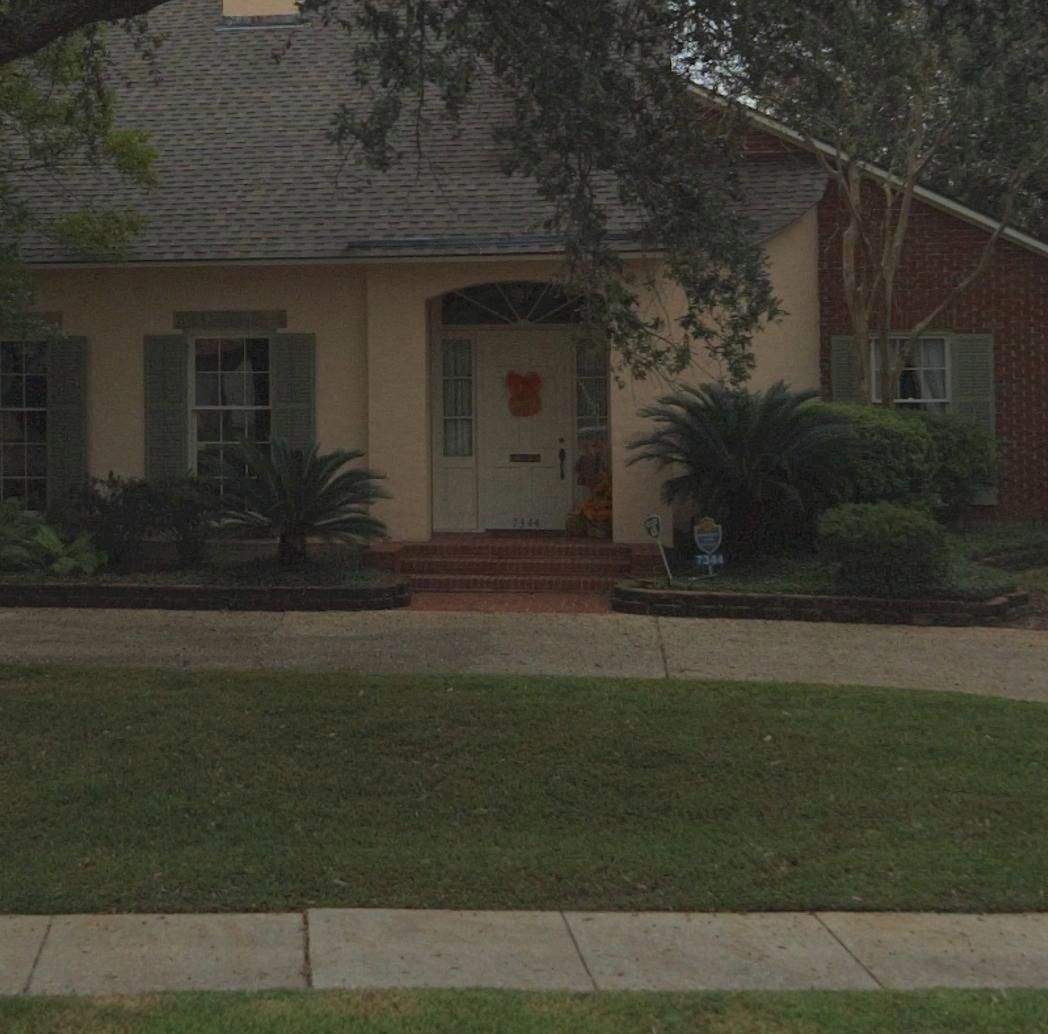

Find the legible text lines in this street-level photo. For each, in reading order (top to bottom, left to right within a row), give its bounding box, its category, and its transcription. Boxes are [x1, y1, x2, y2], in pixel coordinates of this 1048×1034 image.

[511, 517, 541, 529] StreetNumber: 7344
[695, 554, 724, 563] StreetNumber: 7344